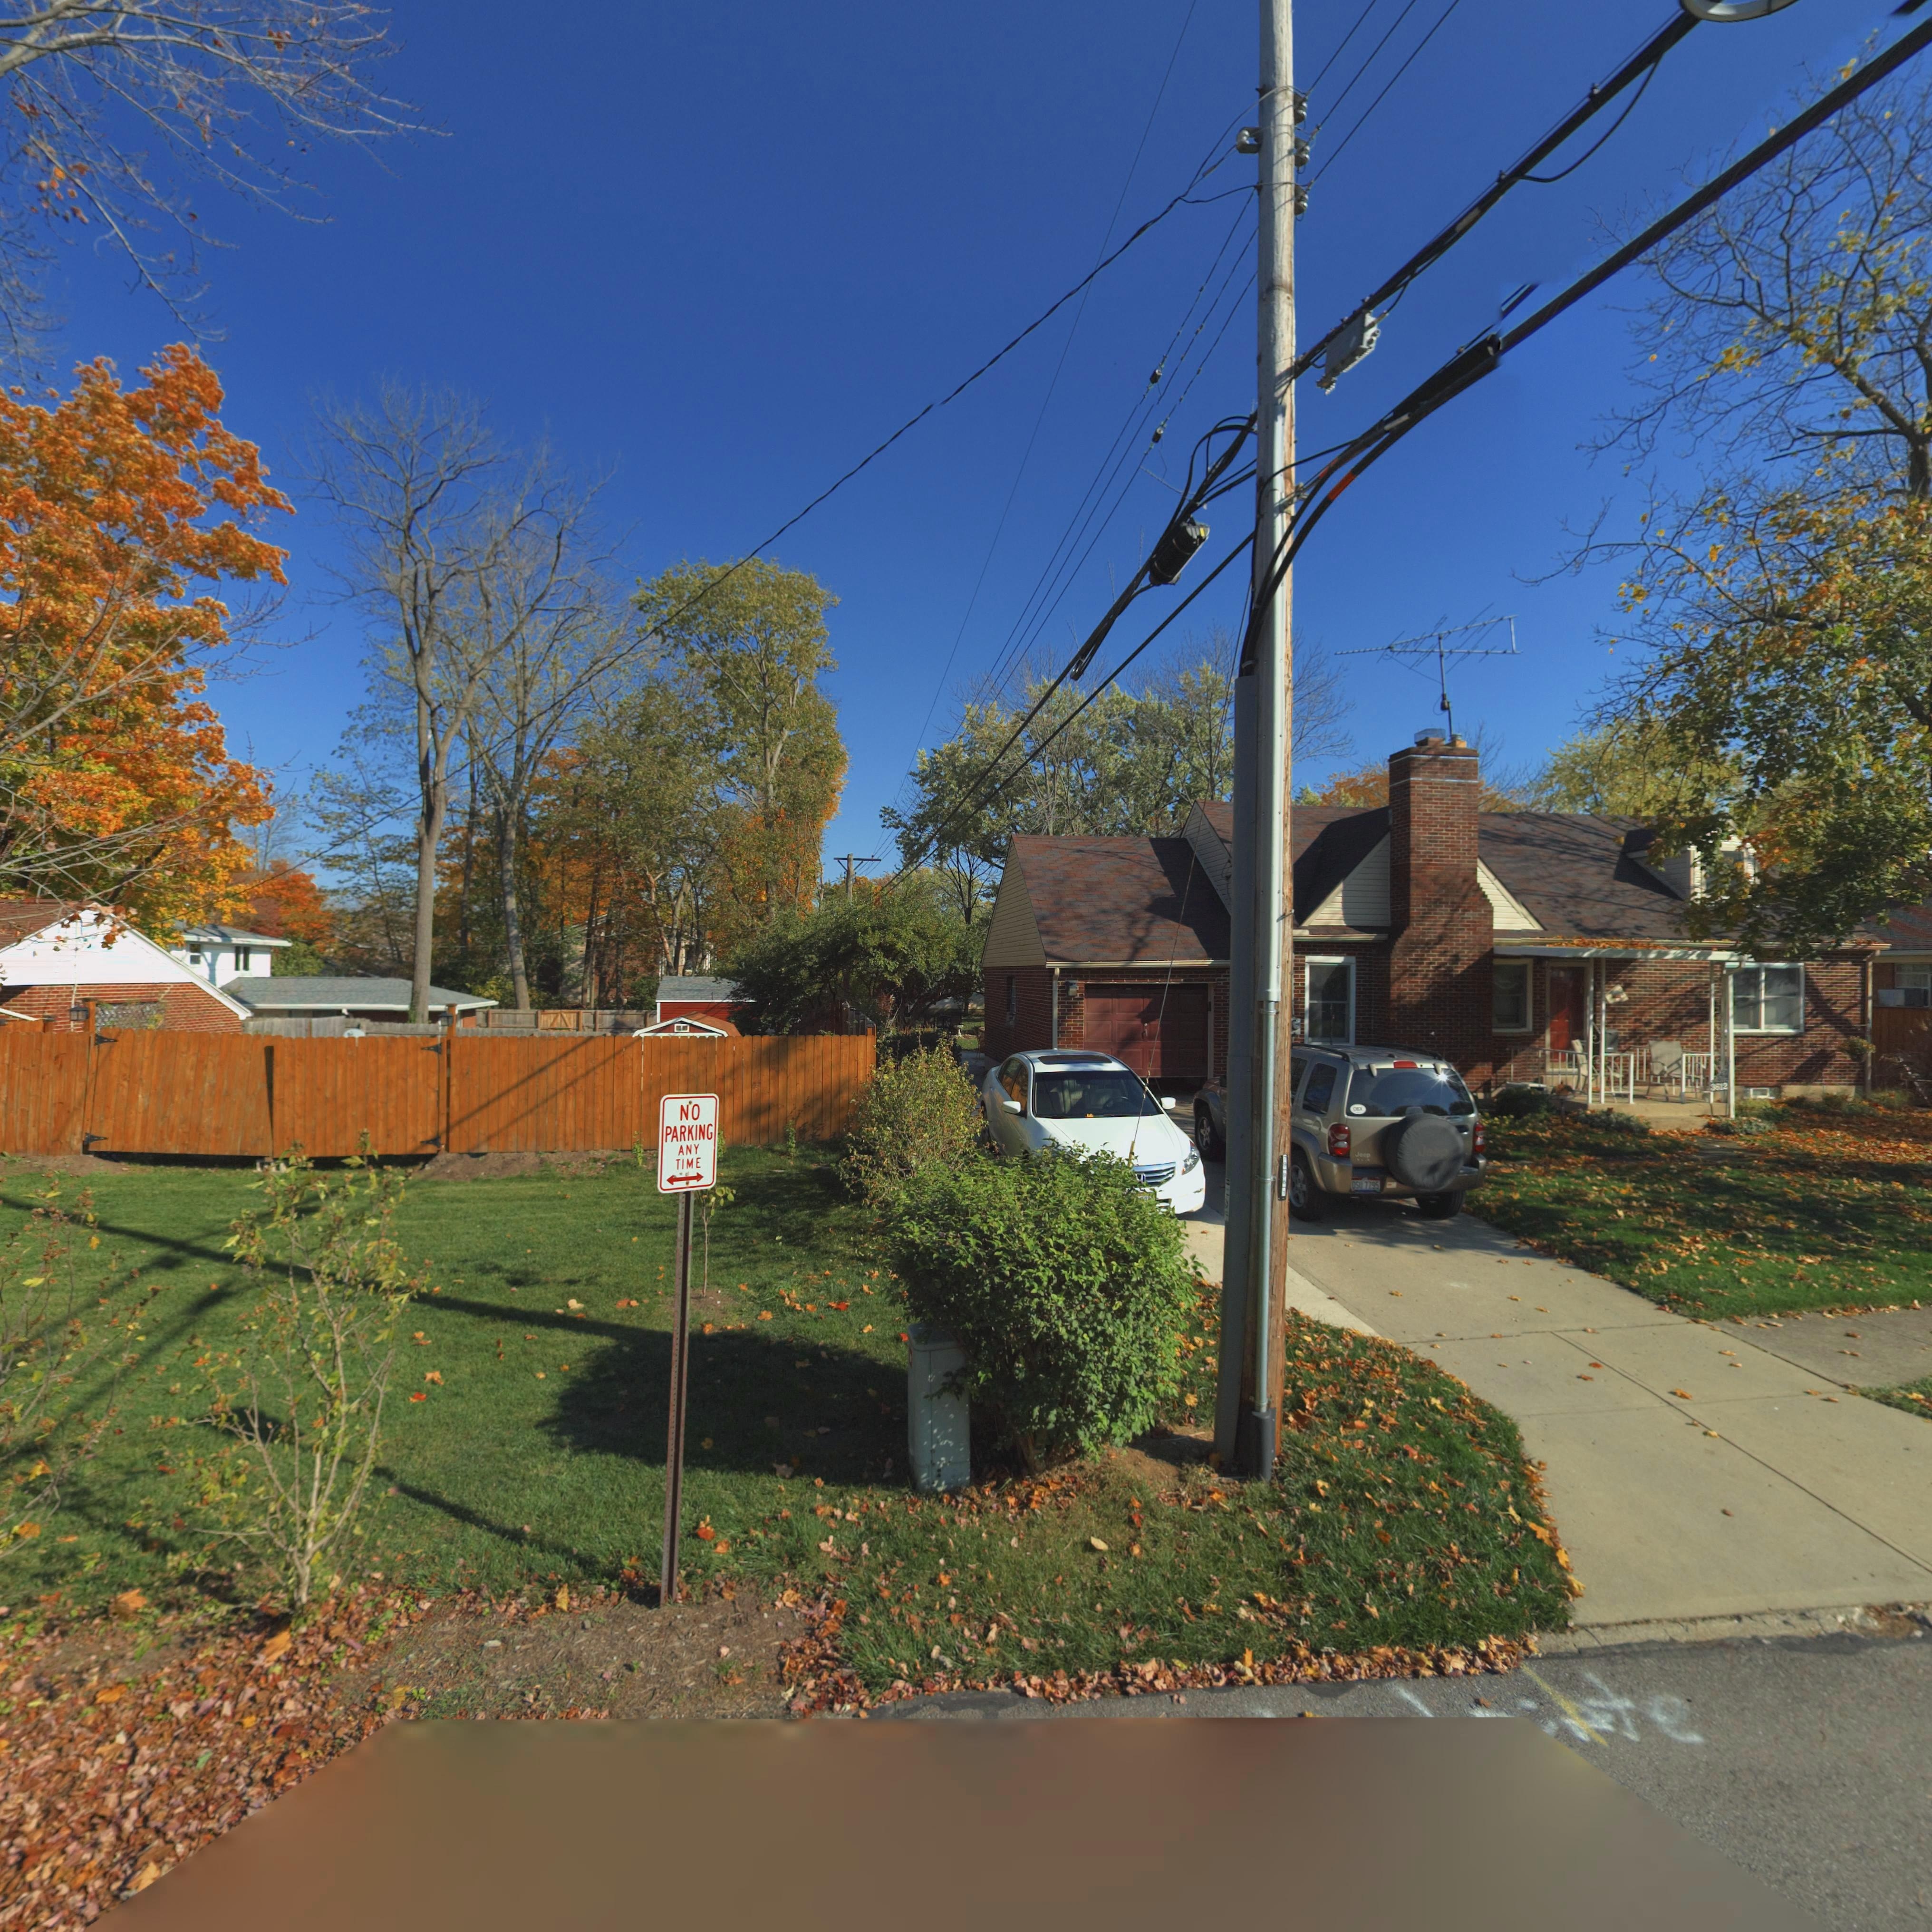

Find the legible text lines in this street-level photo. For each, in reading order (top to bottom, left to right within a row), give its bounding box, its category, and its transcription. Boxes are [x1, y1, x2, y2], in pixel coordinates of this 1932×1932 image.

[1710, 1082, 1729, 1092] StreetNumber: 3612
[680, 1103, 700, 1121] None: NO
[1353, 1106, 1363, 1111] None: OBX
[665, 1123, 713, 1143] None: PARKING
[677, 1143, 700, 1156] None: ANY
[1354, 1151, 1372, 1159] None: Jeep
[1417, 1144, 1449, 1162] None: Jeep
[675, 1157, 701, 1170] None: TIME
[1282, 1155, 1287, 1196] None: 79967
[1352, 1180, 1380, 1189] None: DSU*7795
[1579, 1666, 1710, 1746] None: te